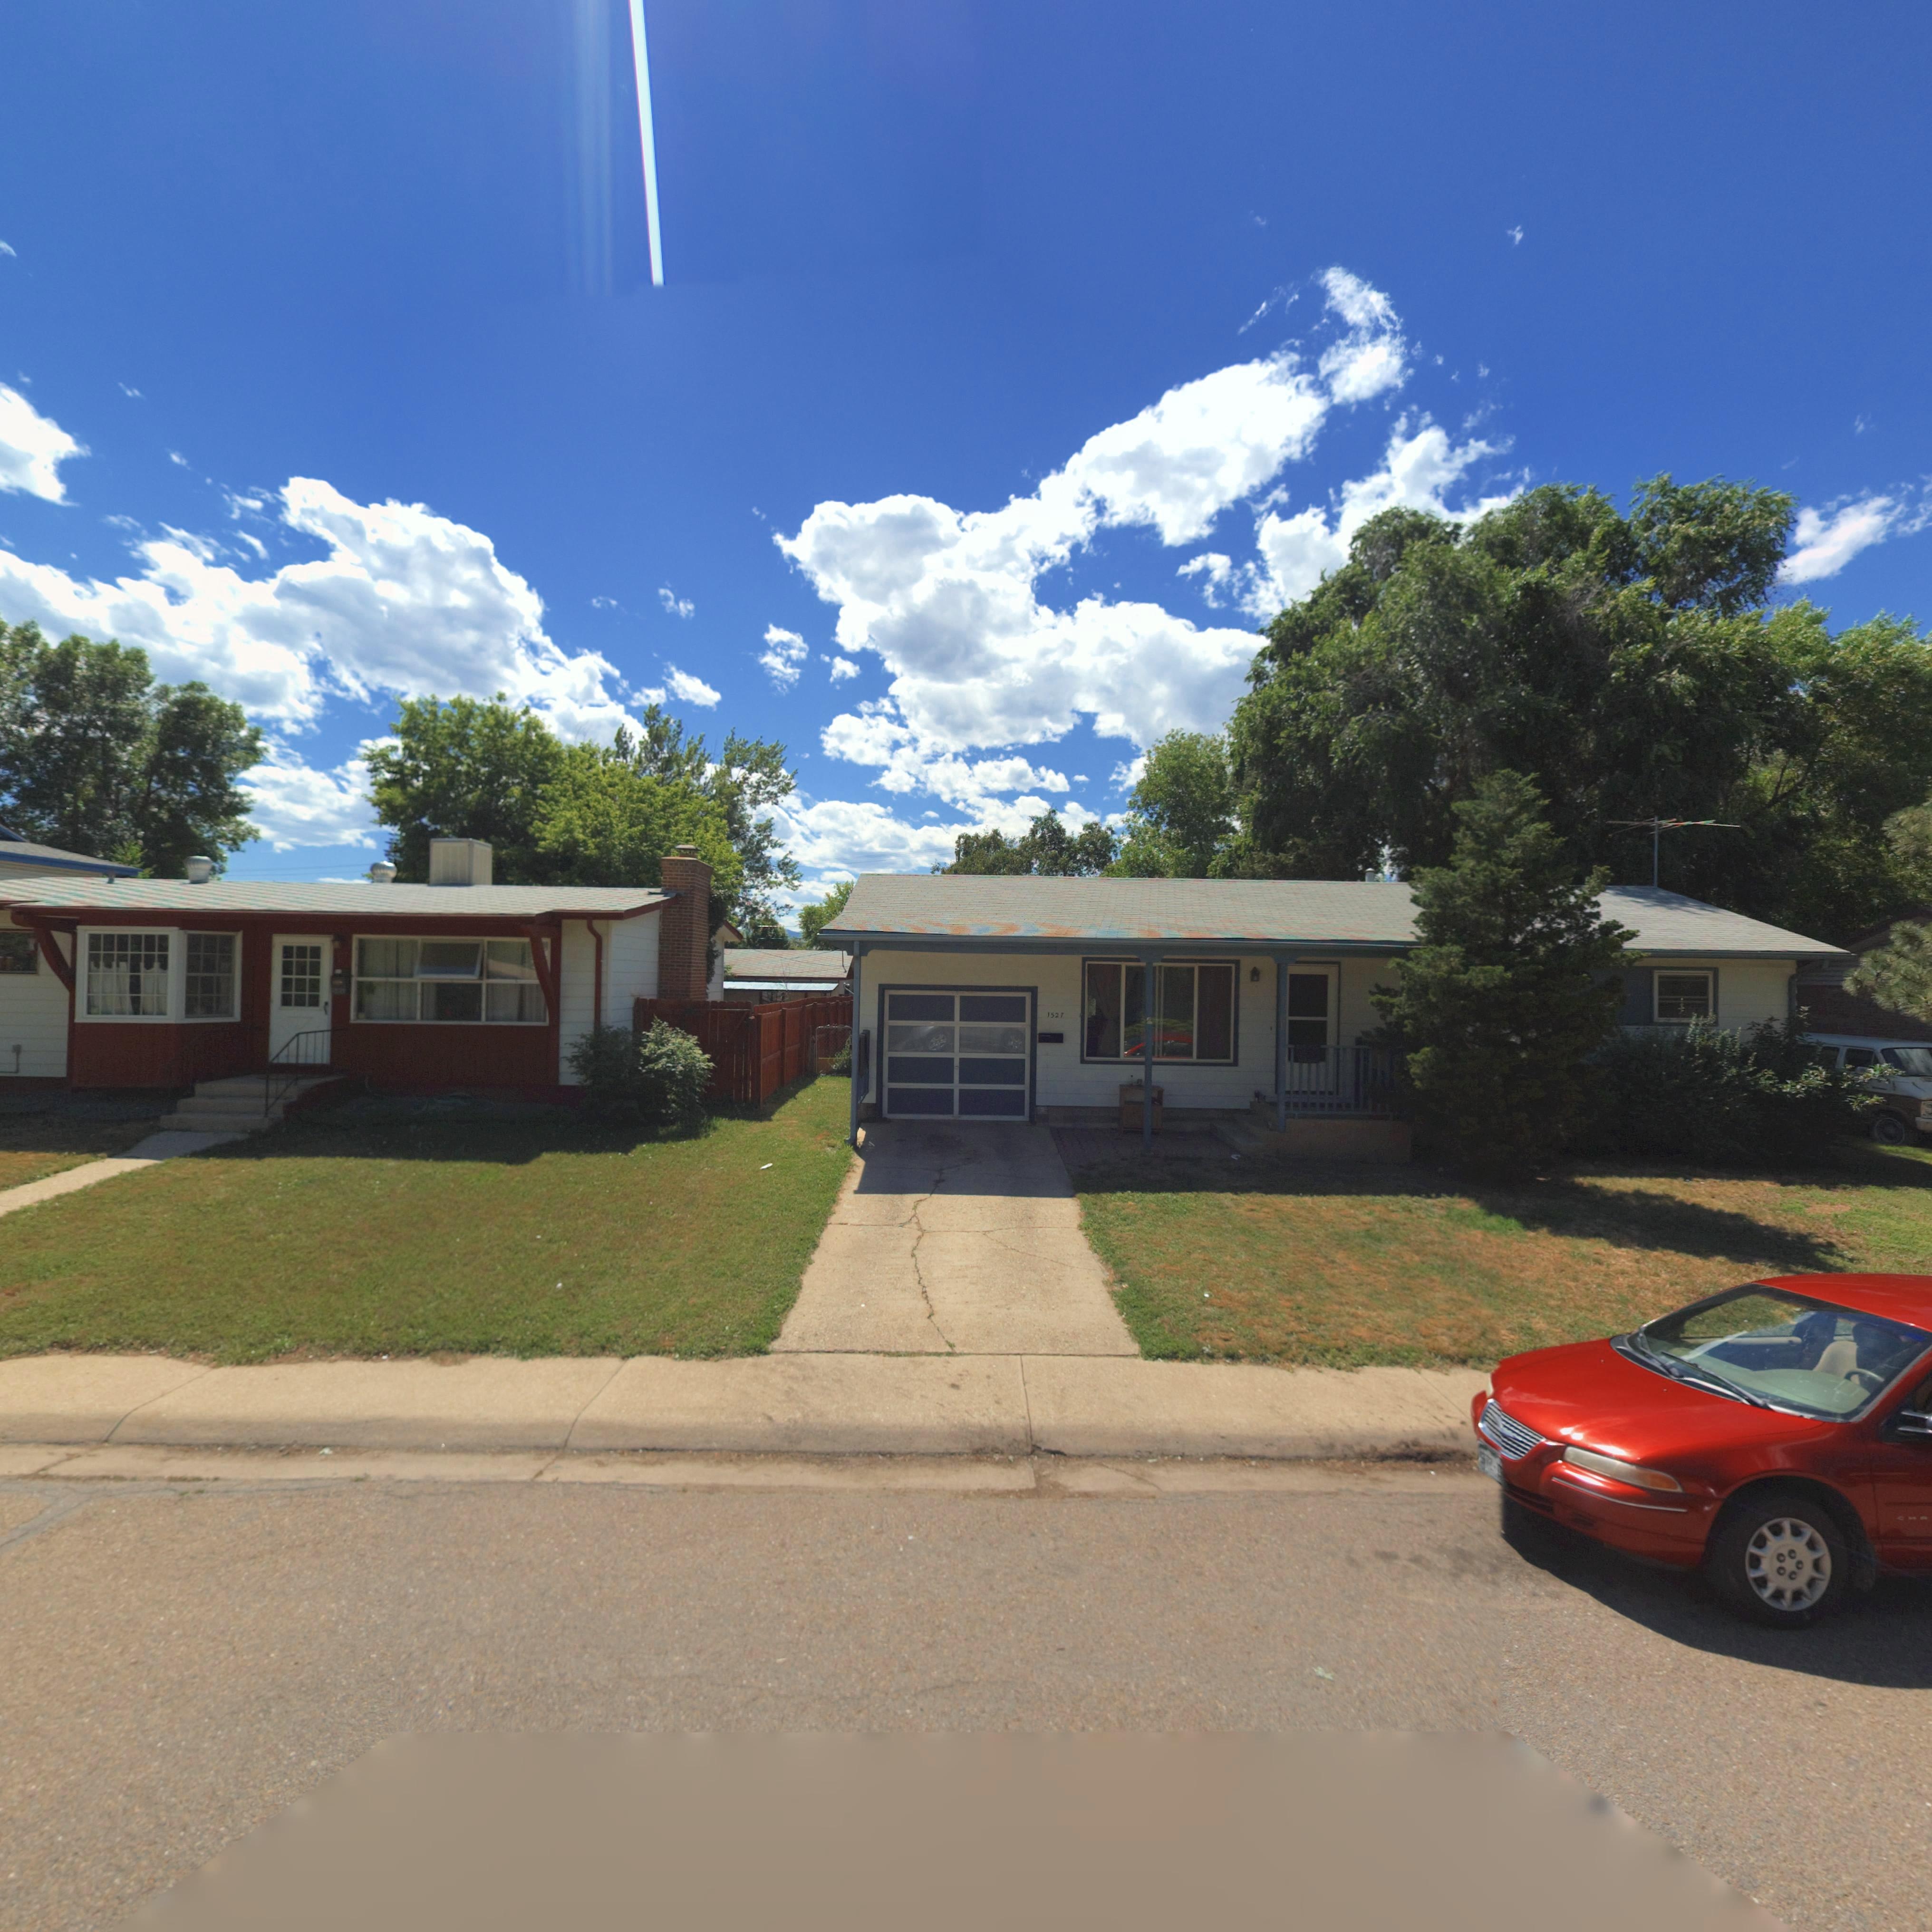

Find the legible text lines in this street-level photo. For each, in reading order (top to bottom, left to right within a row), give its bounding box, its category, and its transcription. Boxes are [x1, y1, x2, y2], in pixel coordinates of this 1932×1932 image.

[1048, 1012, 1064, 1019] StreetNumber: 1527